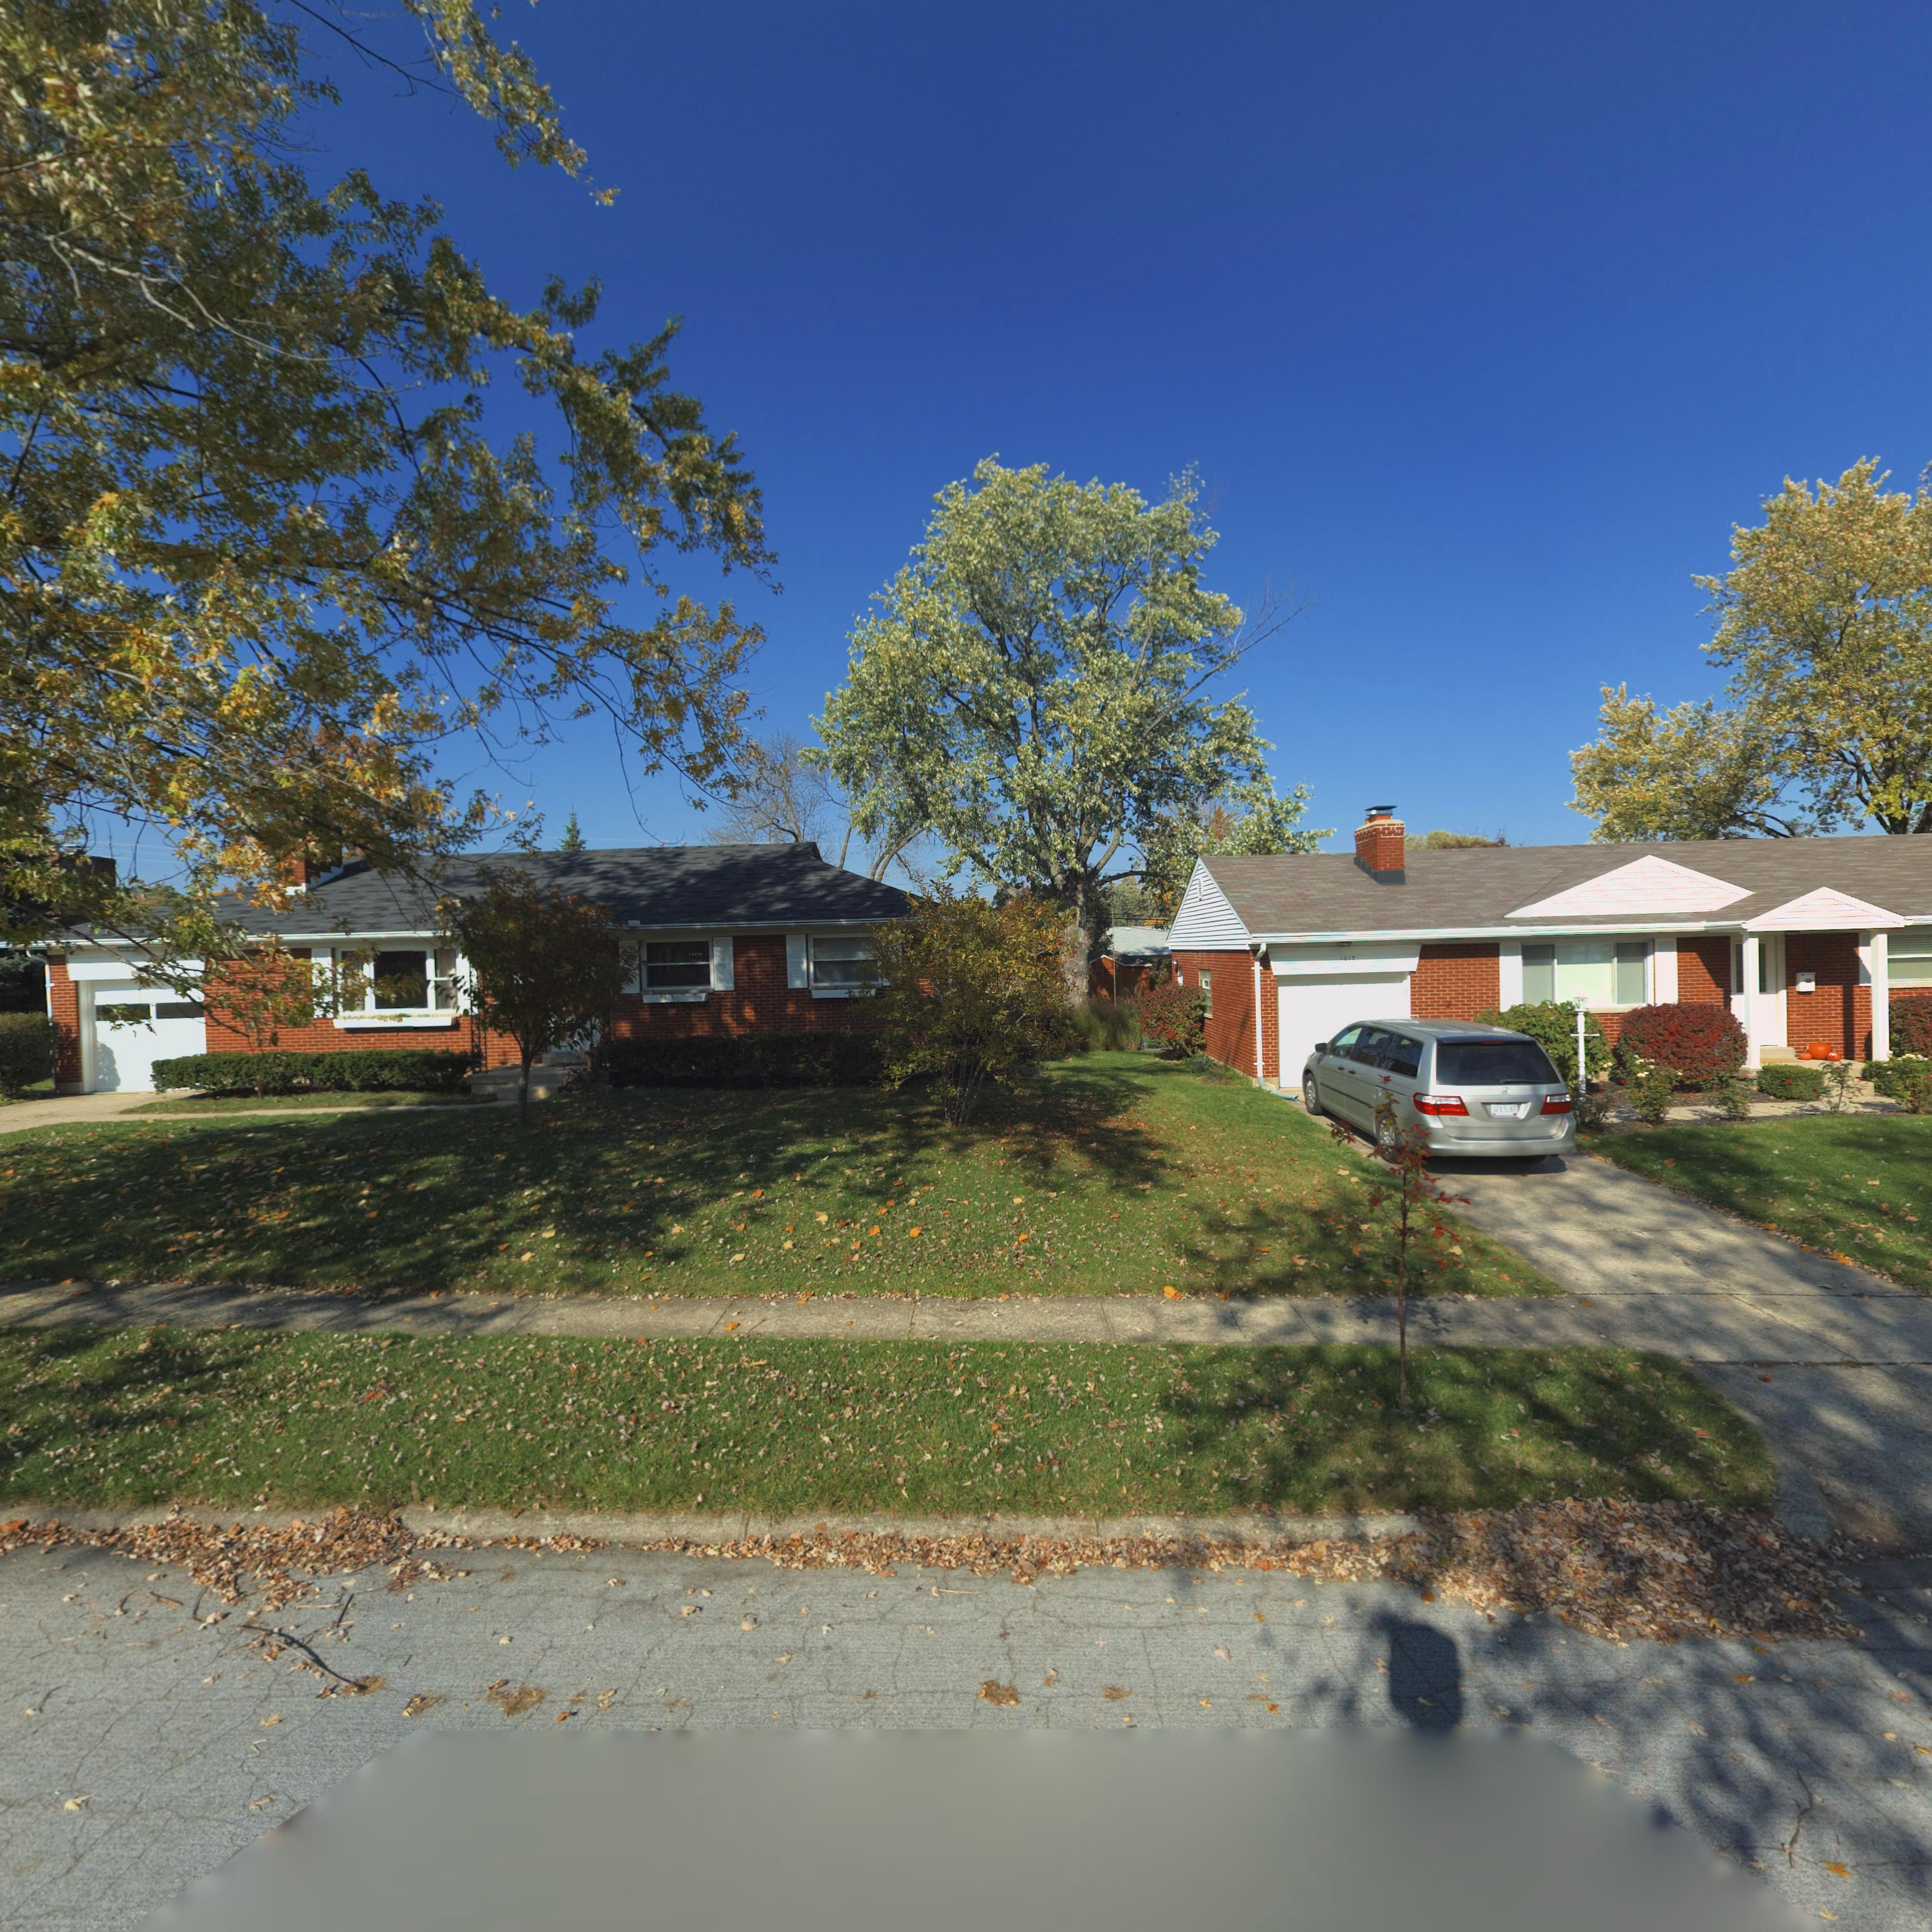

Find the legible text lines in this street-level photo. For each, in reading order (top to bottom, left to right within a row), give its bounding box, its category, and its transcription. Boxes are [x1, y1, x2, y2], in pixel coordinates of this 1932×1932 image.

[1340, 955, 1356, 961] StreetNumber: 101*